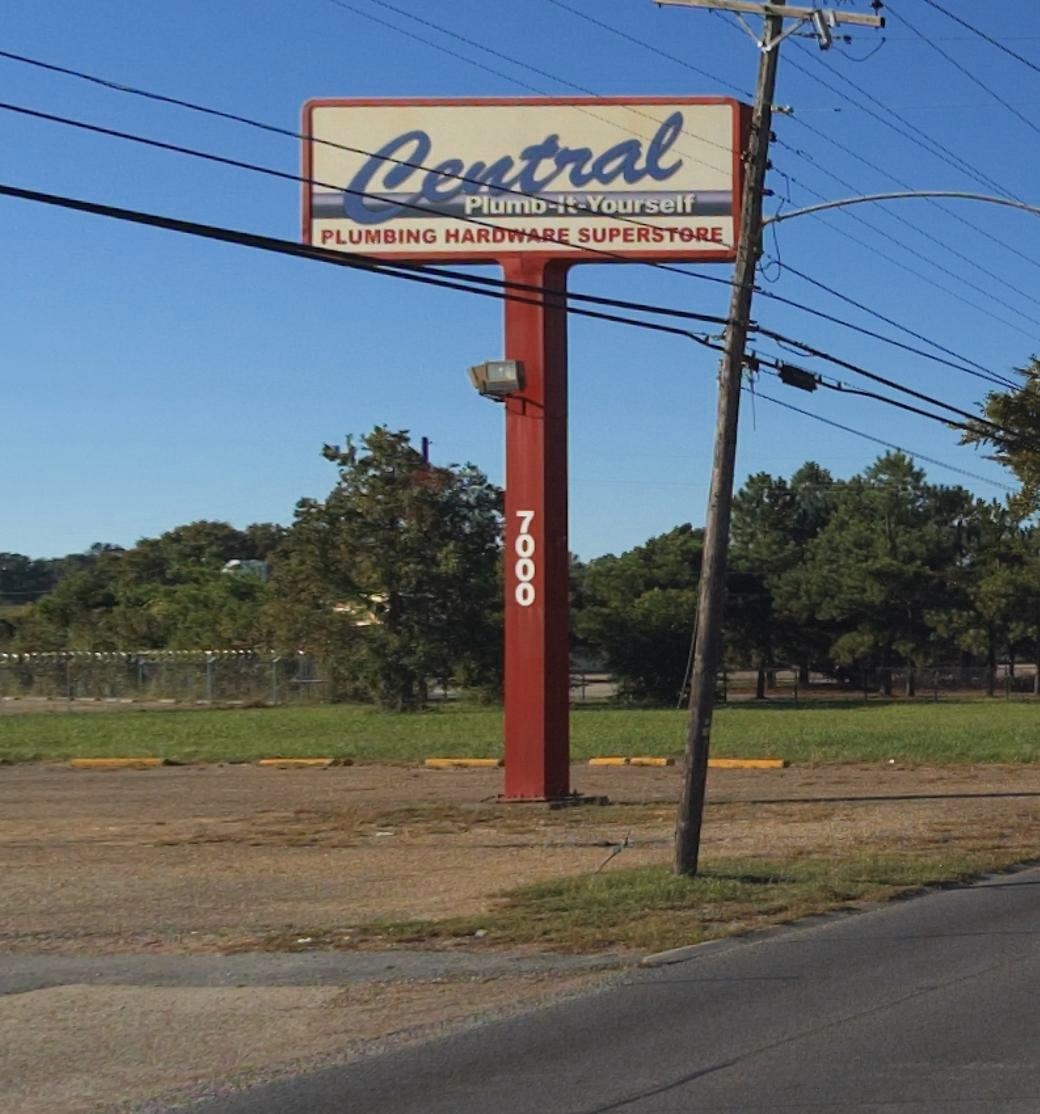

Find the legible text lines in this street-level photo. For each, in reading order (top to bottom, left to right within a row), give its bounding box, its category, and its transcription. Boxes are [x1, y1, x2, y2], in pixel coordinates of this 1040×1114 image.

[337, 107, 688, 229] BusinessName: Central
[317, 223, 726, 248] None: PLUMBING HARDW*RE SUPERS*ORE
[461, 191, 700, 218] None: Plumb-It-Yourself
[511, 508, 539, 609] StreetNumber: 7000